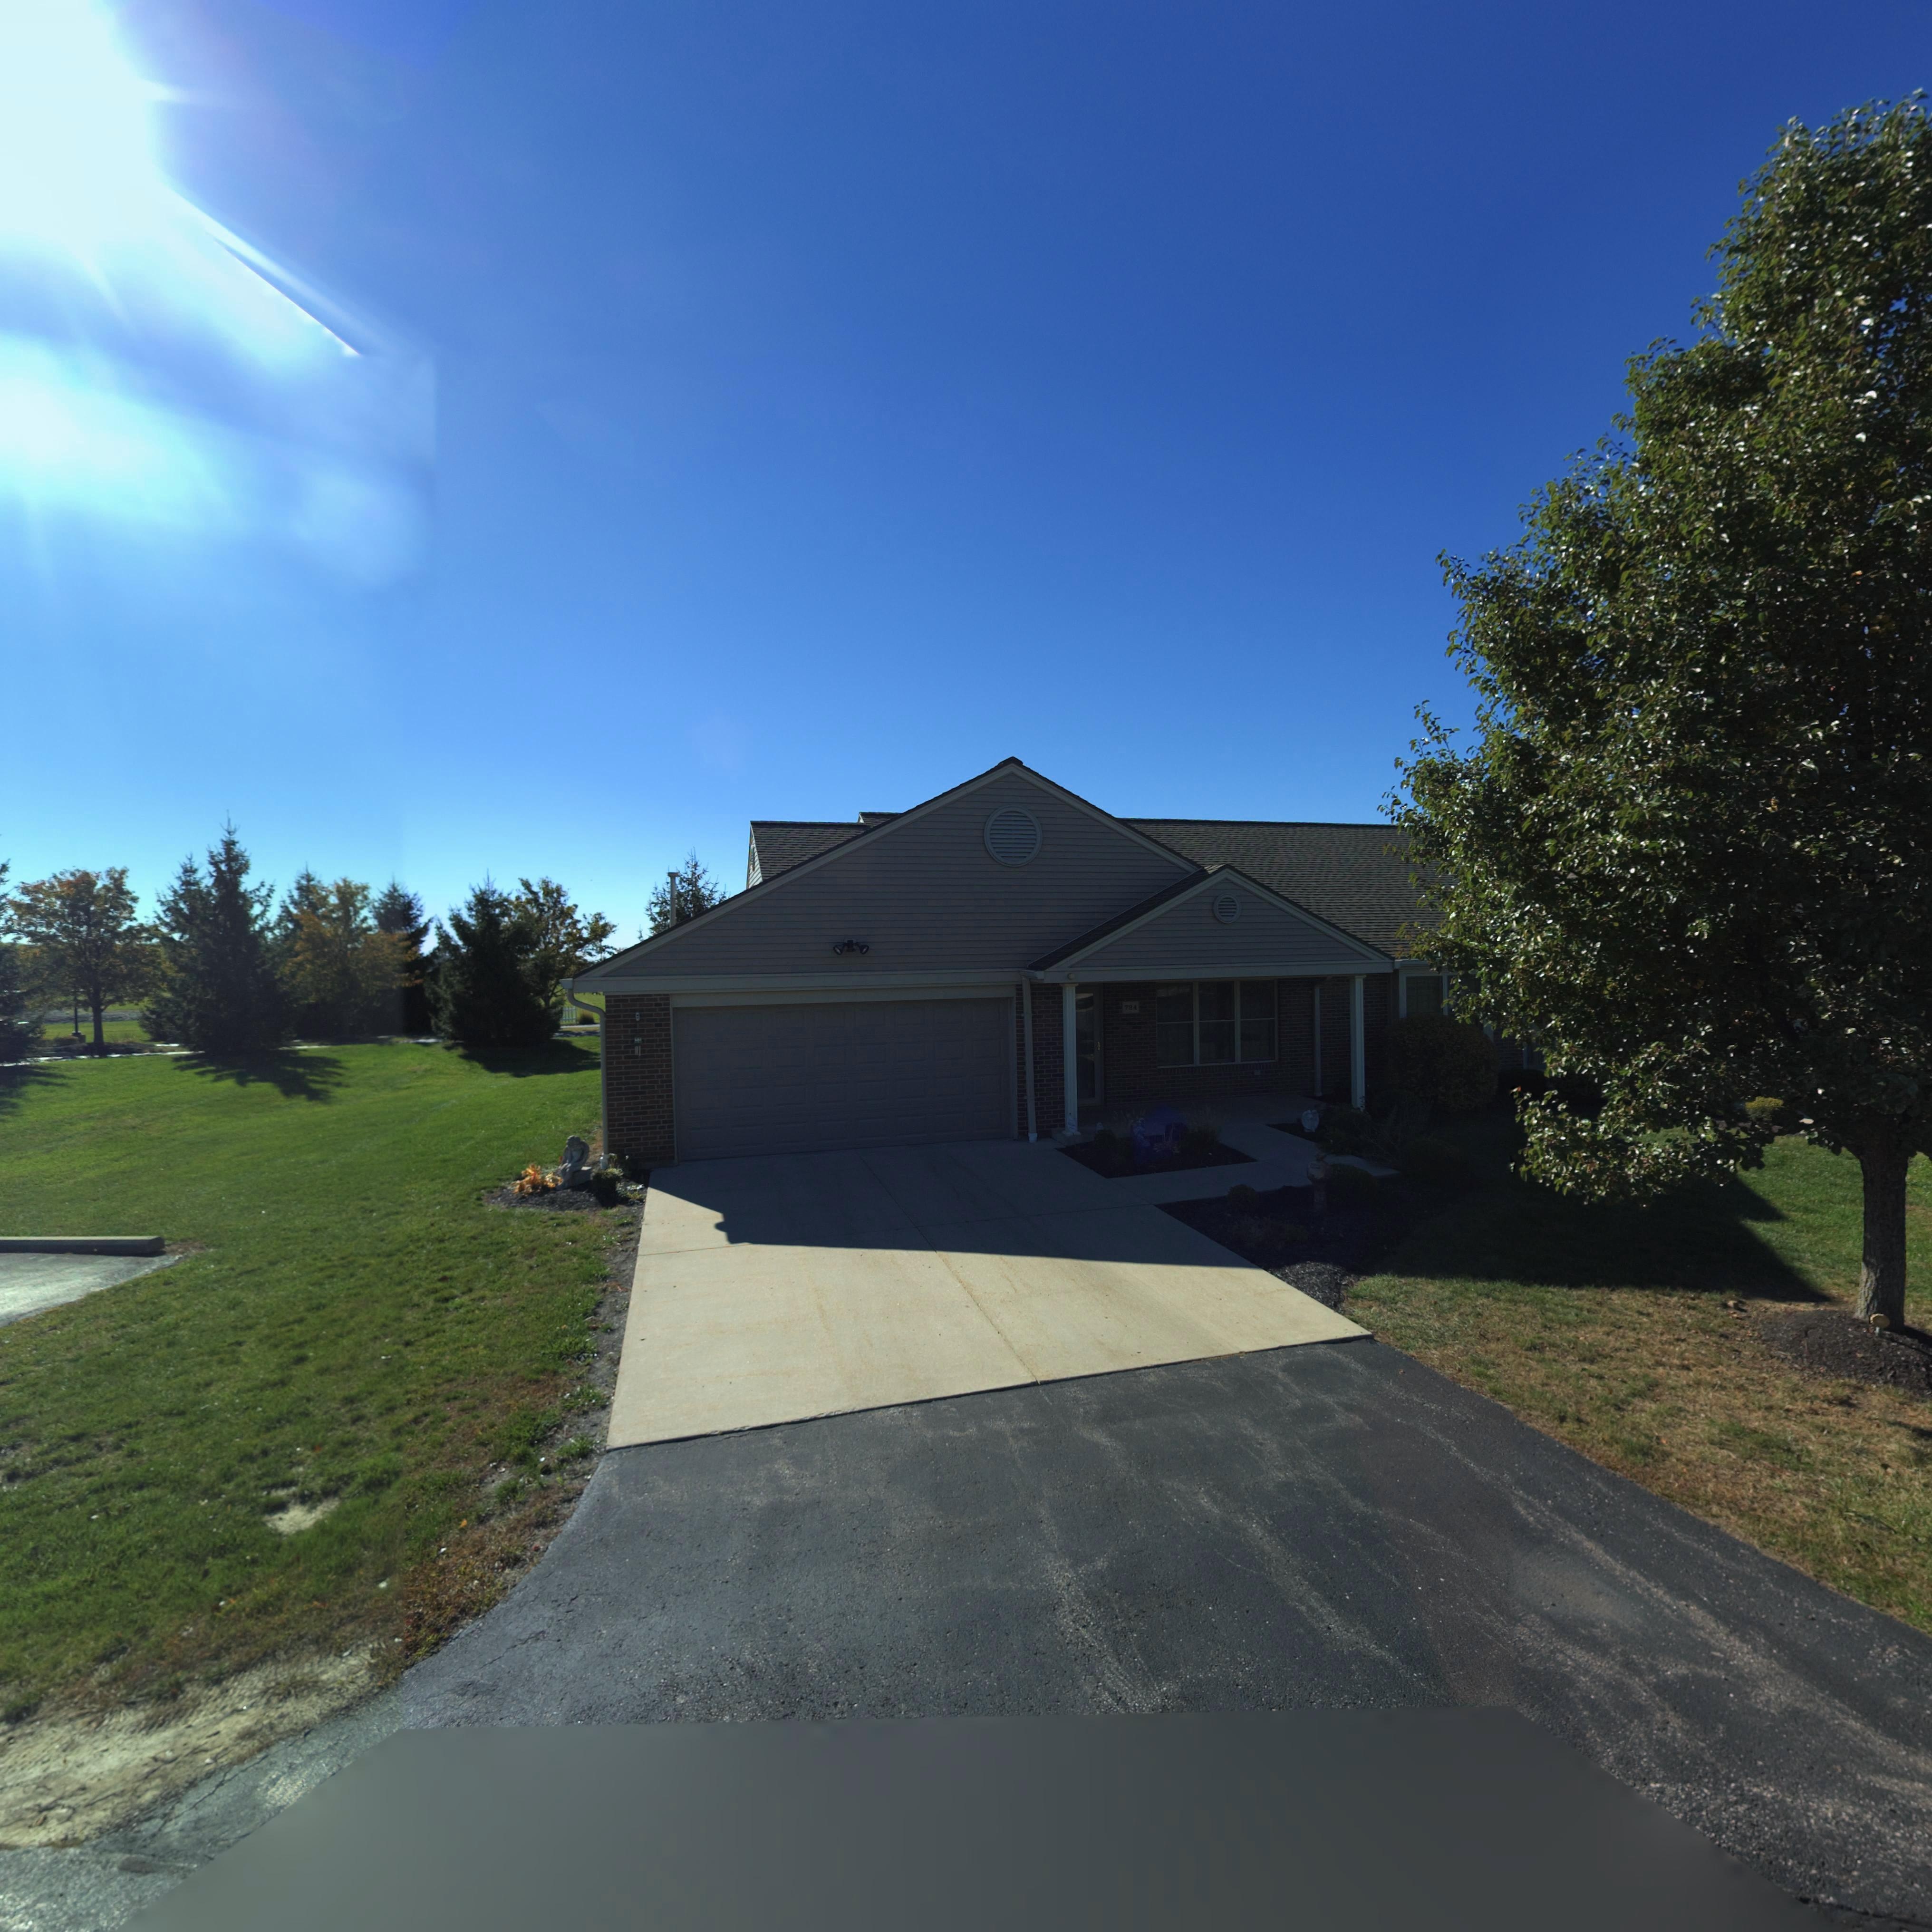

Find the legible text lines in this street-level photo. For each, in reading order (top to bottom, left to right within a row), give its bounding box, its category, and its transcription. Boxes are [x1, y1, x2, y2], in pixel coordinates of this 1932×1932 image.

[1124, 1004, 1137, 1010] StreetNumber: 724